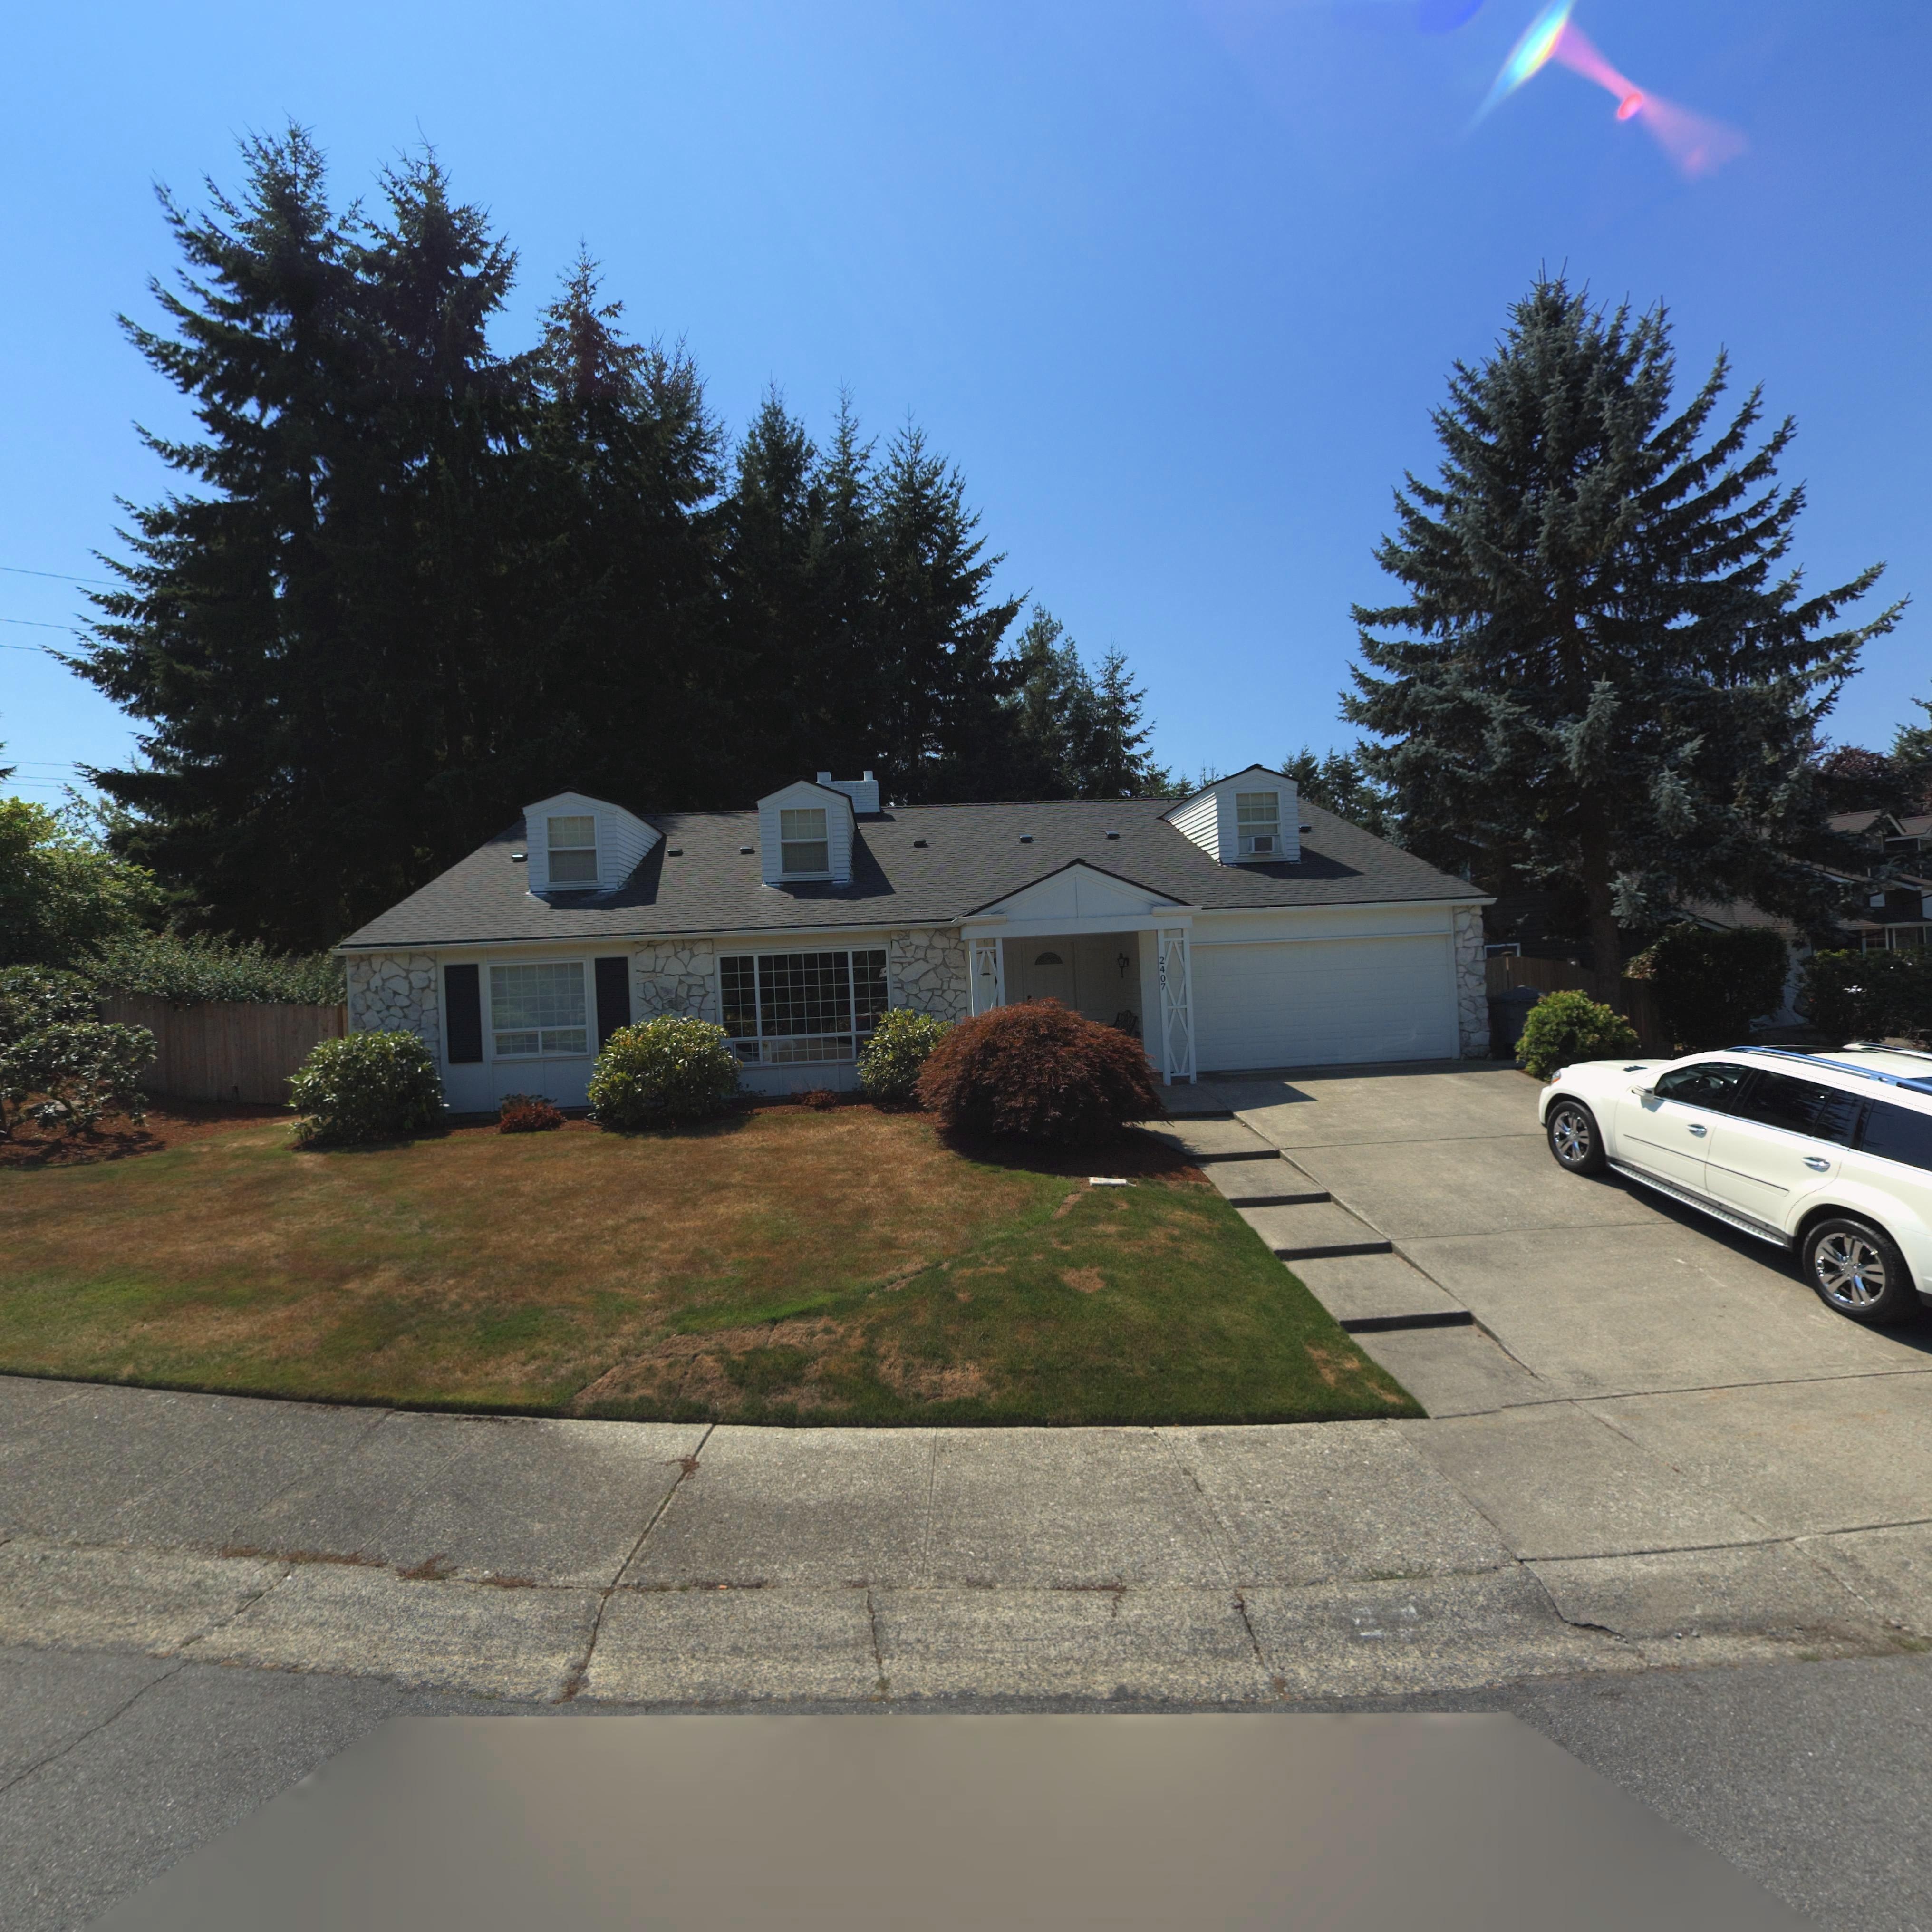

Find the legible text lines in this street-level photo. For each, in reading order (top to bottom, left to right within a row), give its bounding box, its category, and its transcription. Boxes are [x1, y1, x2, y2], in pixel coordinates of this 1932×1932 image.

[1158, 956, 1166, 990] StreetNumber: 2407